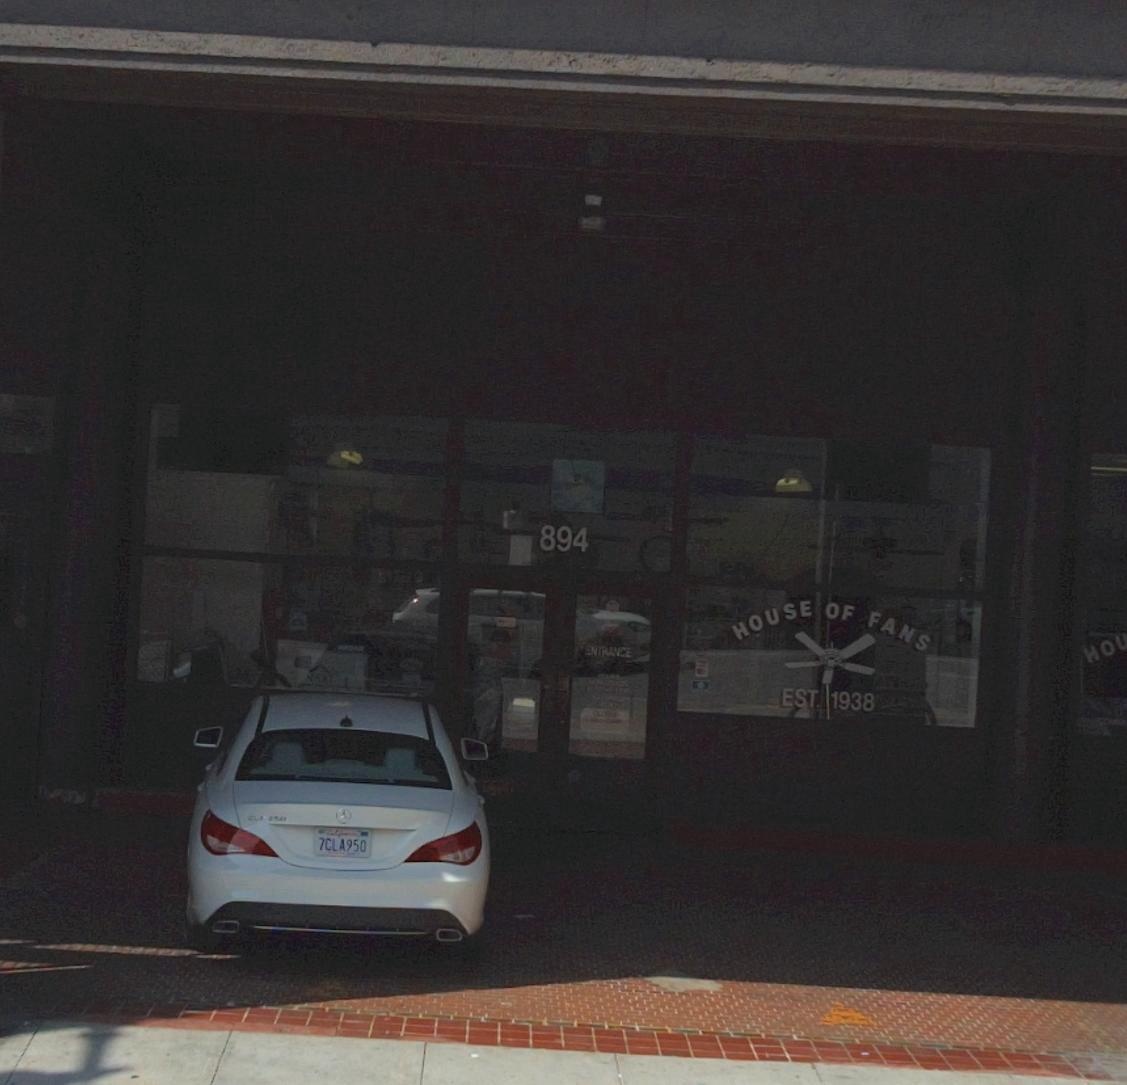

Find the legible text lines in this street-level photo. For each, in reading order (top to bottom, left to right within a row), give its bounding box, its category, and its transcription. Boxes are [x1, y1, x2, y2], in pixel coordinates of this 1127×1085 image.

[537, 523, 590, 555] StreetNumber: 894
[728, 600, 935, 654] BusinessName: HOUSE OF FANS
[582, 645, 632, 658] None: ENTERANCE
[1079, 636, 1119, 666] None: HO
[779, 687, 877, 712] None: EST. 1938
[317, 836, 367, 852] None: 7CLA950